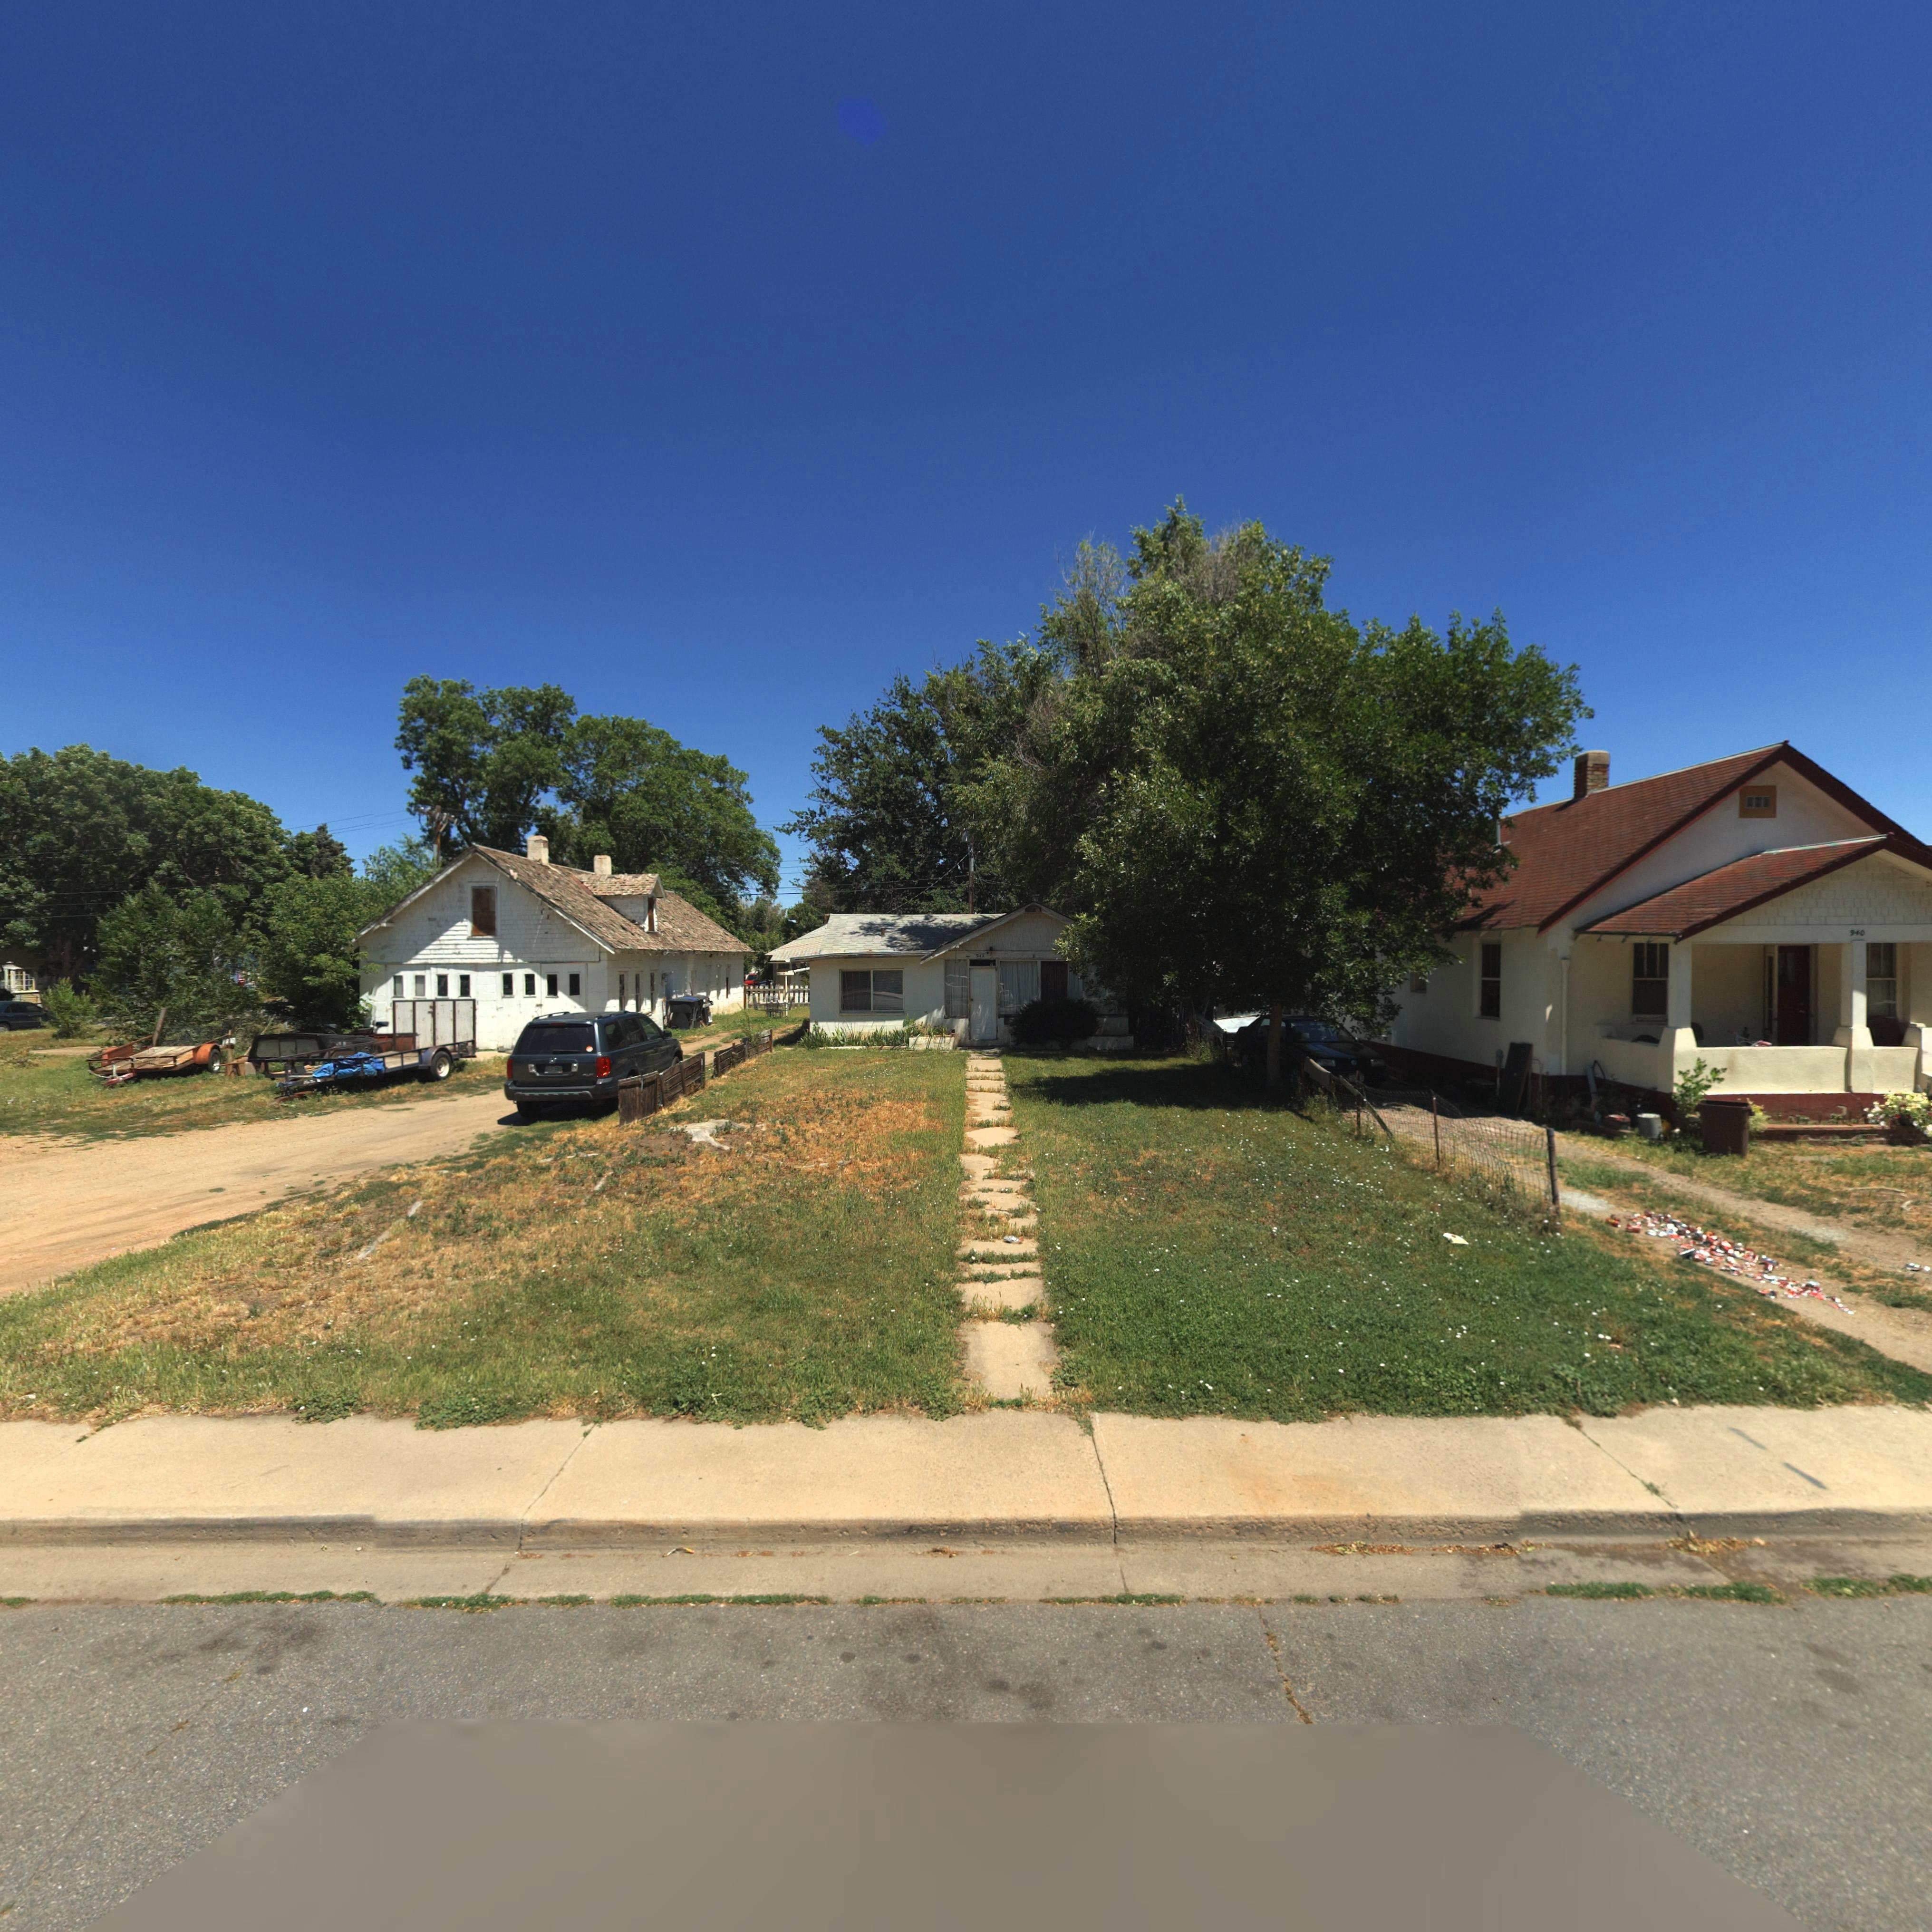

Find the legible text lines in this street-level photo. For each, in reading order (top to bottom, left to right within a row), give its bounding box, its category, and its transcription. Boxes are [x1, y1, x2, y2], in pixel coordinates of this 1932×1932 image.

[1849, 929, 1865, 936] StreetNumber: 940
[976, 953, 984, 958] StreetNumber: 942